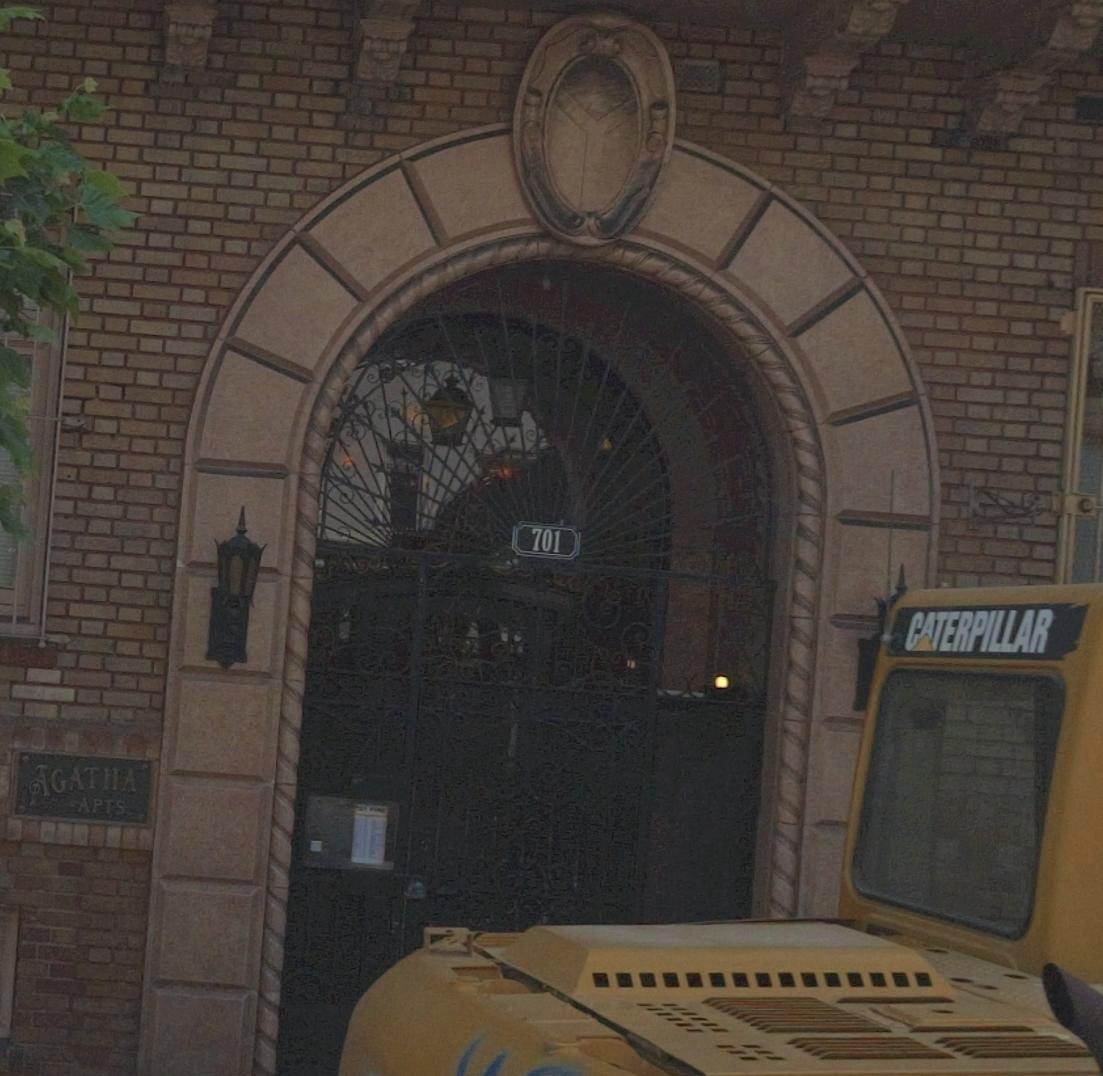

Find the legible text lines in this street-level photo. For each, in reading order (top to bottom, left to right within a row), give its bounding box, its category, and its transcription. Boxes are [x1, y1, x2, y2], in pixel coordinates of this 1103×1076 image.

[529, 526, 563, 555] StreetNumber: 701
[902, 606, 1058, 656] None: CATERPILLAR
[28, 759, 140, 813] BusinessName: AGATHA
[76, 794, 127, 816] BusinessName: APTS